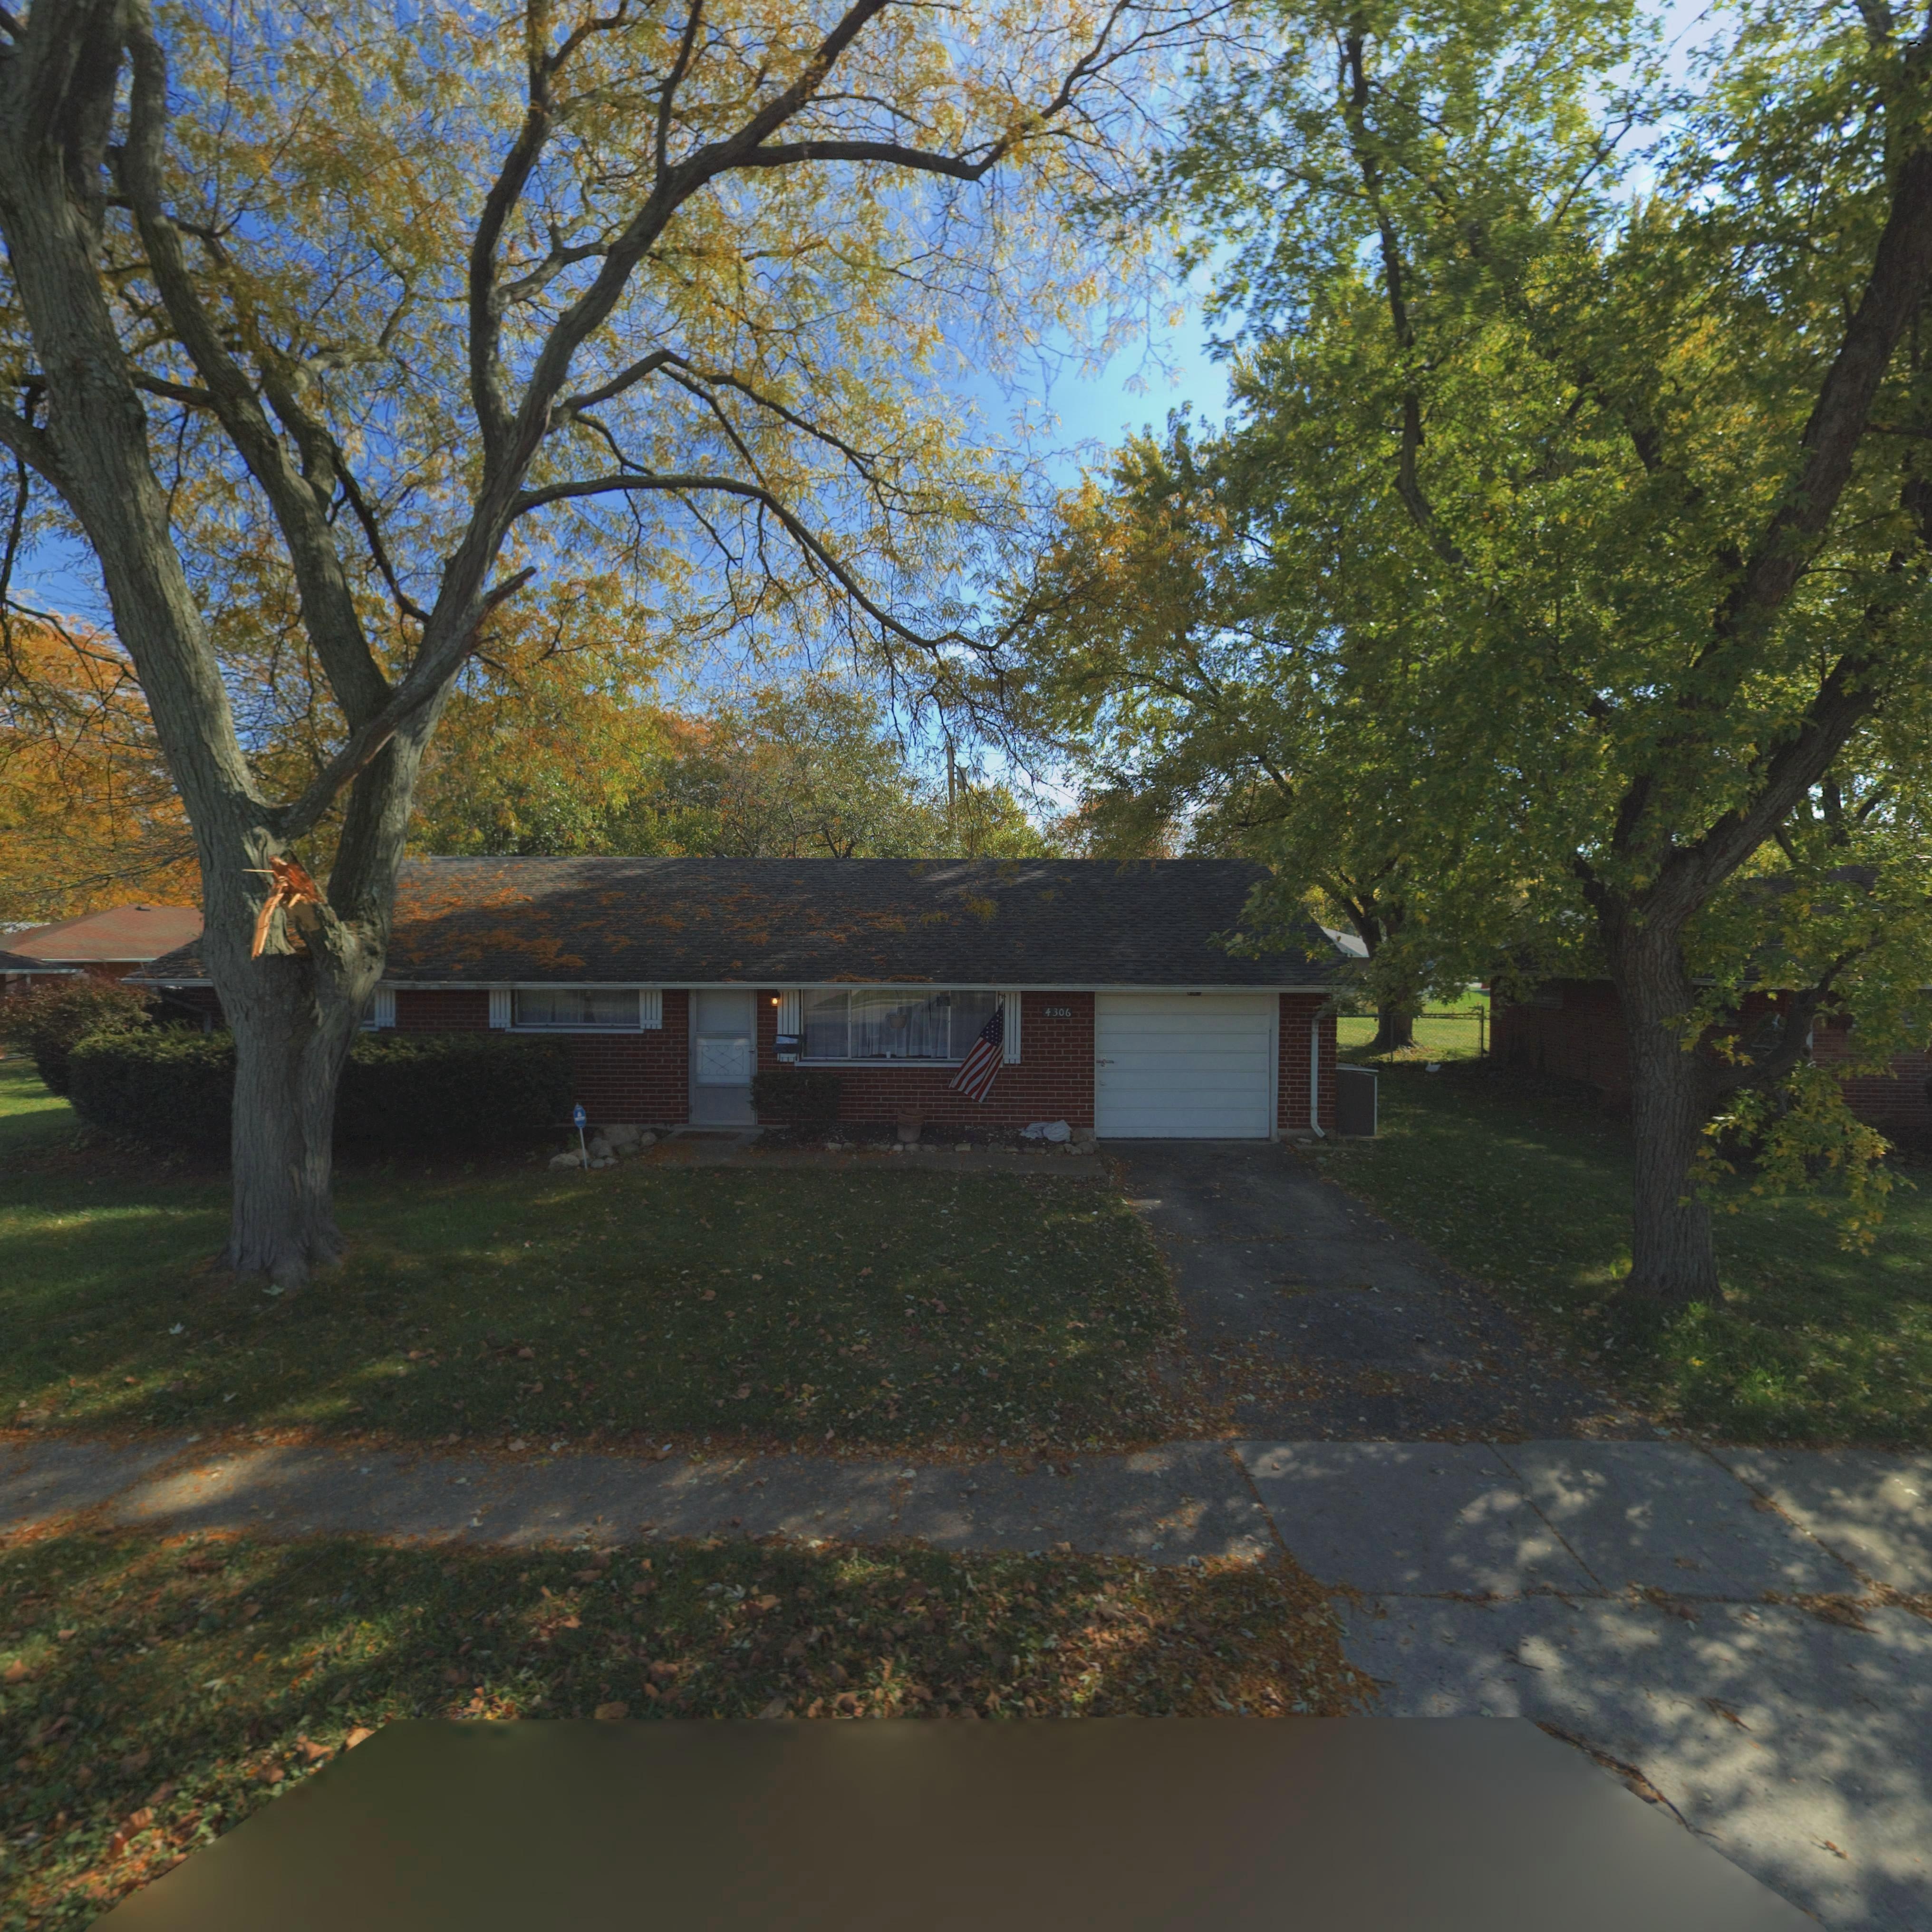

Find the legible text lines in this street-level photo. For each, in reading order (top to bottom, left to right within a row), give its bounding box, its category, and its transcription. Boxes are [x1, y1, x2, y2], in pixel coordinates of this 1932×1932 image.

[1044, 1006, 1072, 1018] StreetNumber: 4306